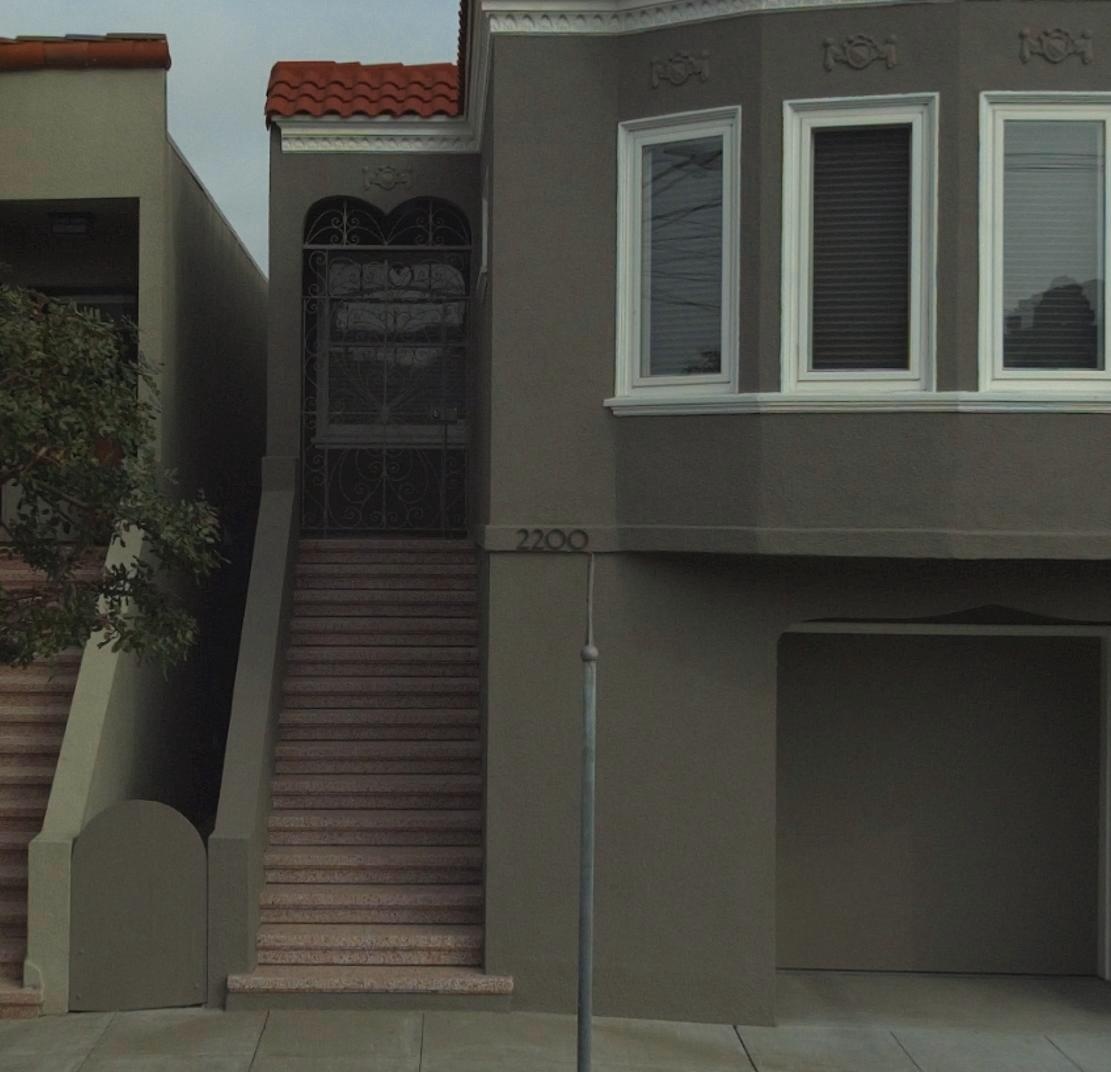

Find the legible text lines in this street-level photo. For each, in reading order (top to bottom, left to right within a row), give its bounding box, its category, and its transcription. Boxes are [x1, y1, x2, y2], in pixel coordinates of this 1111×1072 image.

[513, 526, 592, 551] StreetNumber: 2200